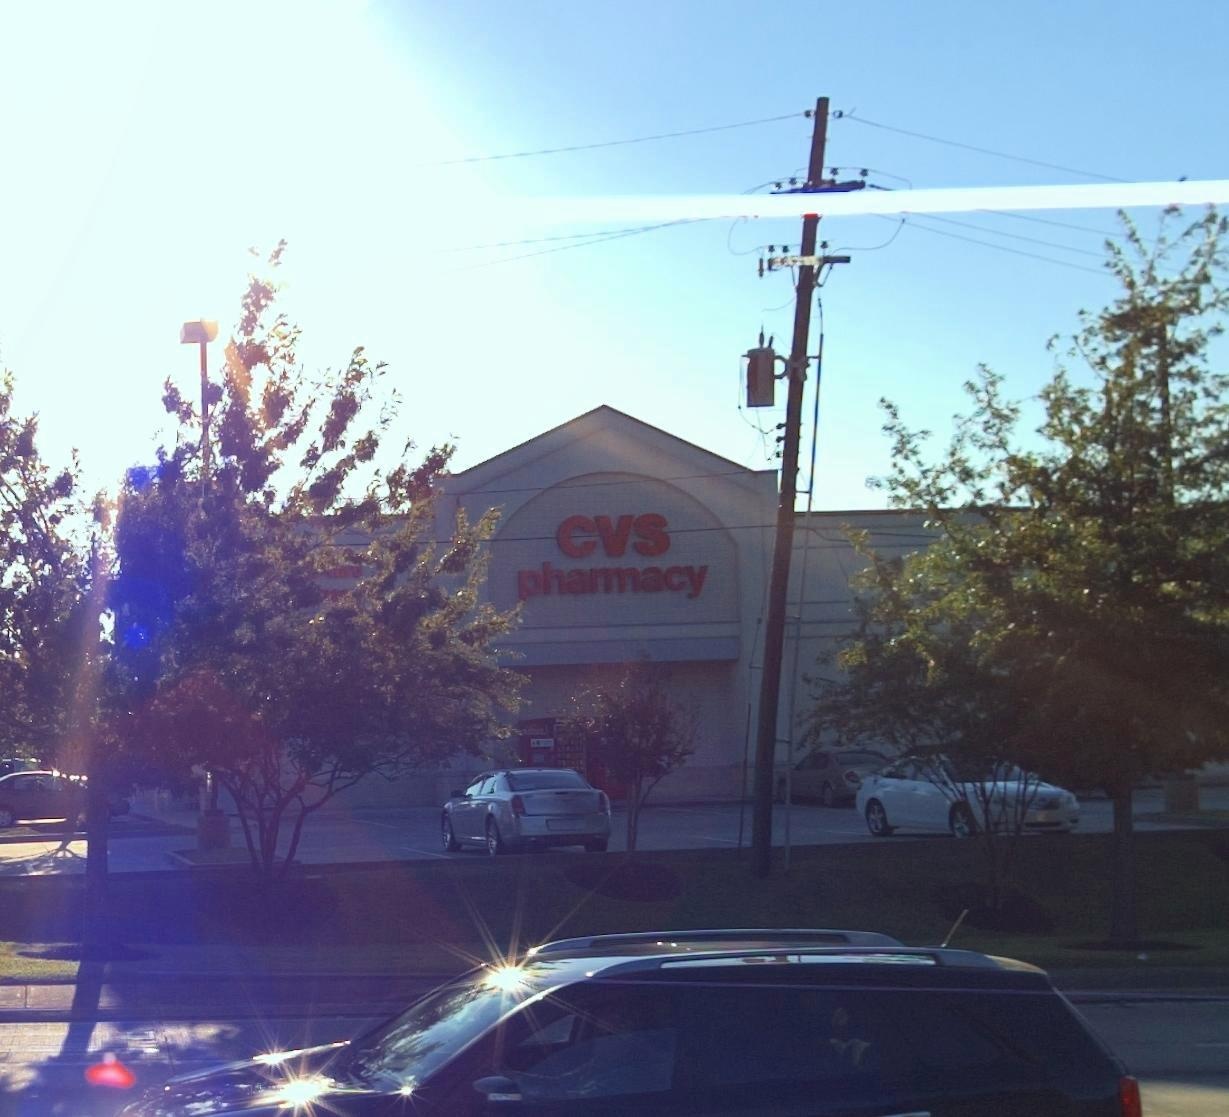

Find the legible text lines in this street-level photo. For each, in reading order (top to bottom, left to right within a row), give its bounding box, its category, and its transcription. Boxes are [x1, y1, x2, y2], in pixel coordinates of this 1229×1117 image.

[551, 511, 674, 562] BusinessName: CVS
[514, 556, 713, 607] BusinessName: pharmacy